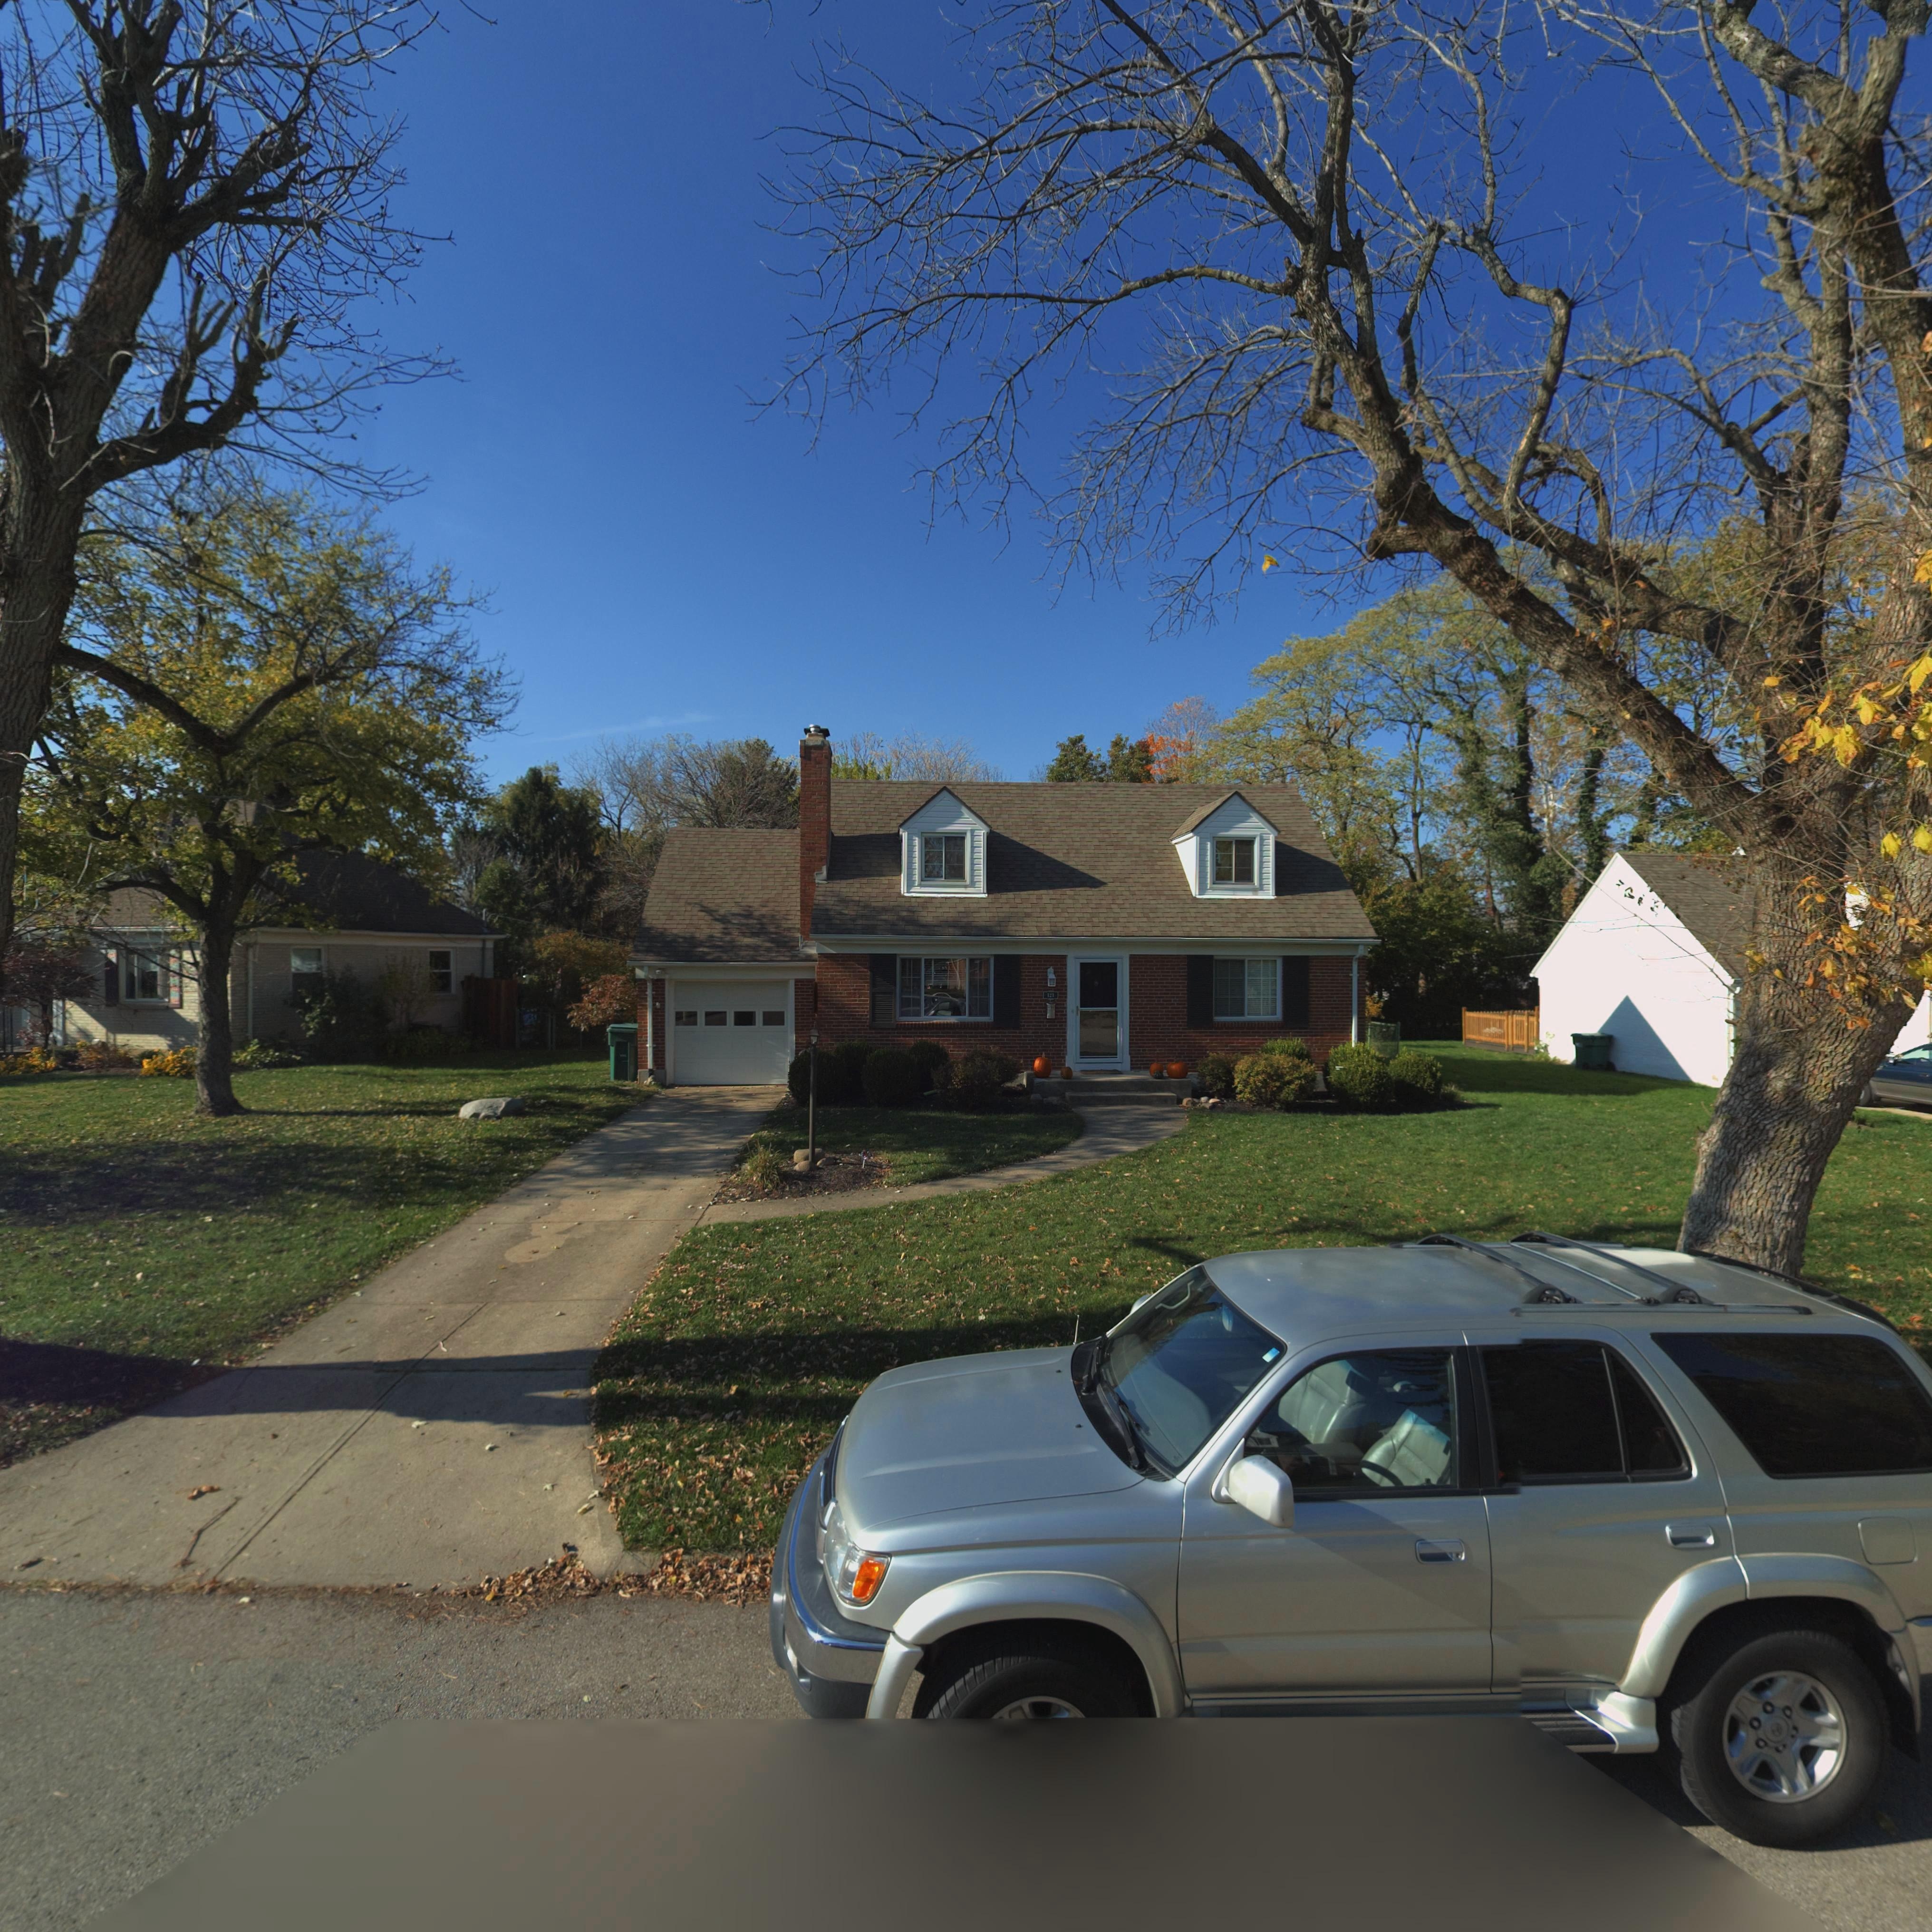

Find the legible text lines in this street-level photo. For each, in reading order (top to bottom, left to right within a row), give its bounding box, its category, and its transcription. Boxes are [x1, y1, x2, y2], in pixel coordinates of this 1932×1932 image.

[1047, 992, 1055, 998] StreetNumber: 121